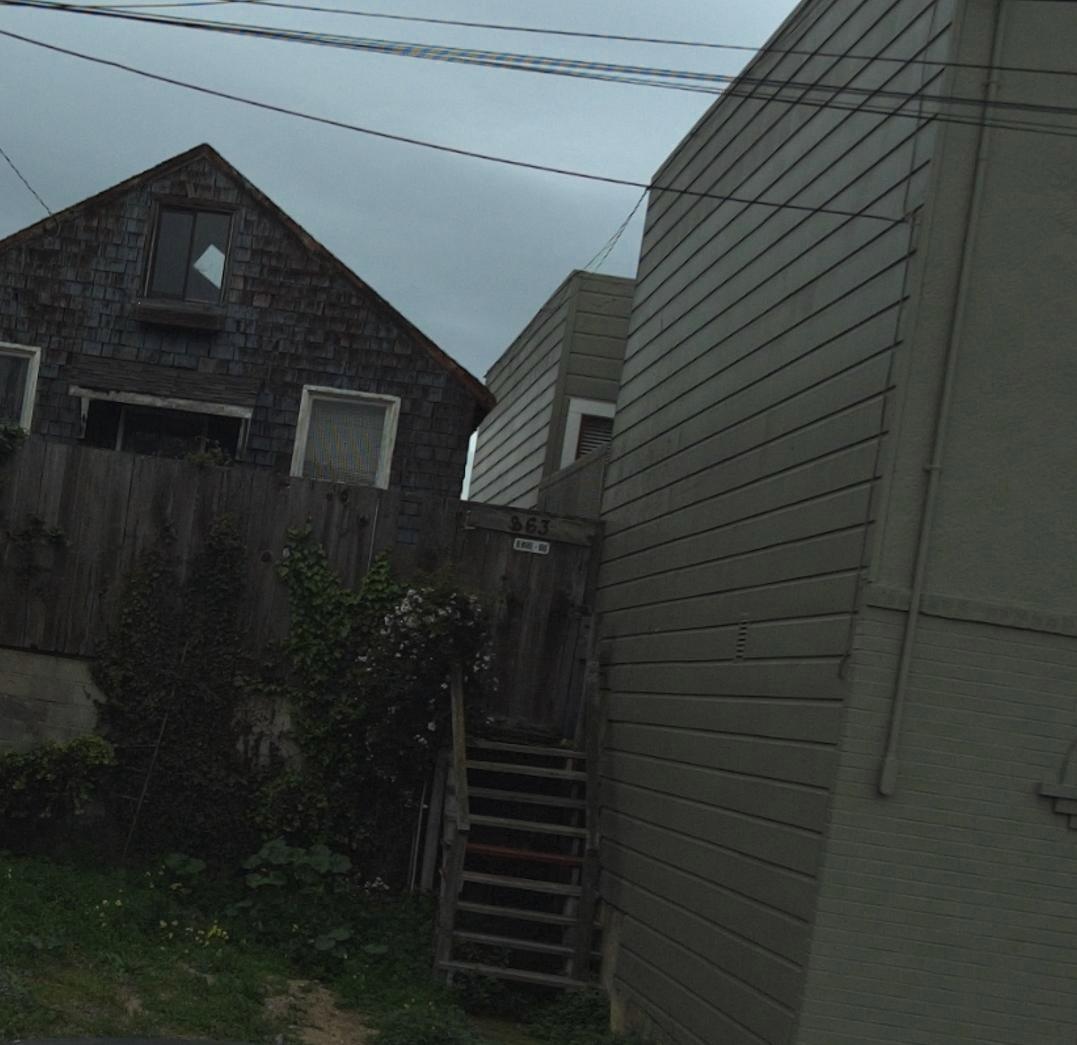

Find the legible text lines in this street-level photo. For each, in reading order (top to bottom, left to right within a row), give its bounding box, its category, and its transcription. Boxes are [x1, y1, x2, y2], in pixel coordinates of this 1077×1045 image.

[507, 514, 553, 538] StreetNumber: 863